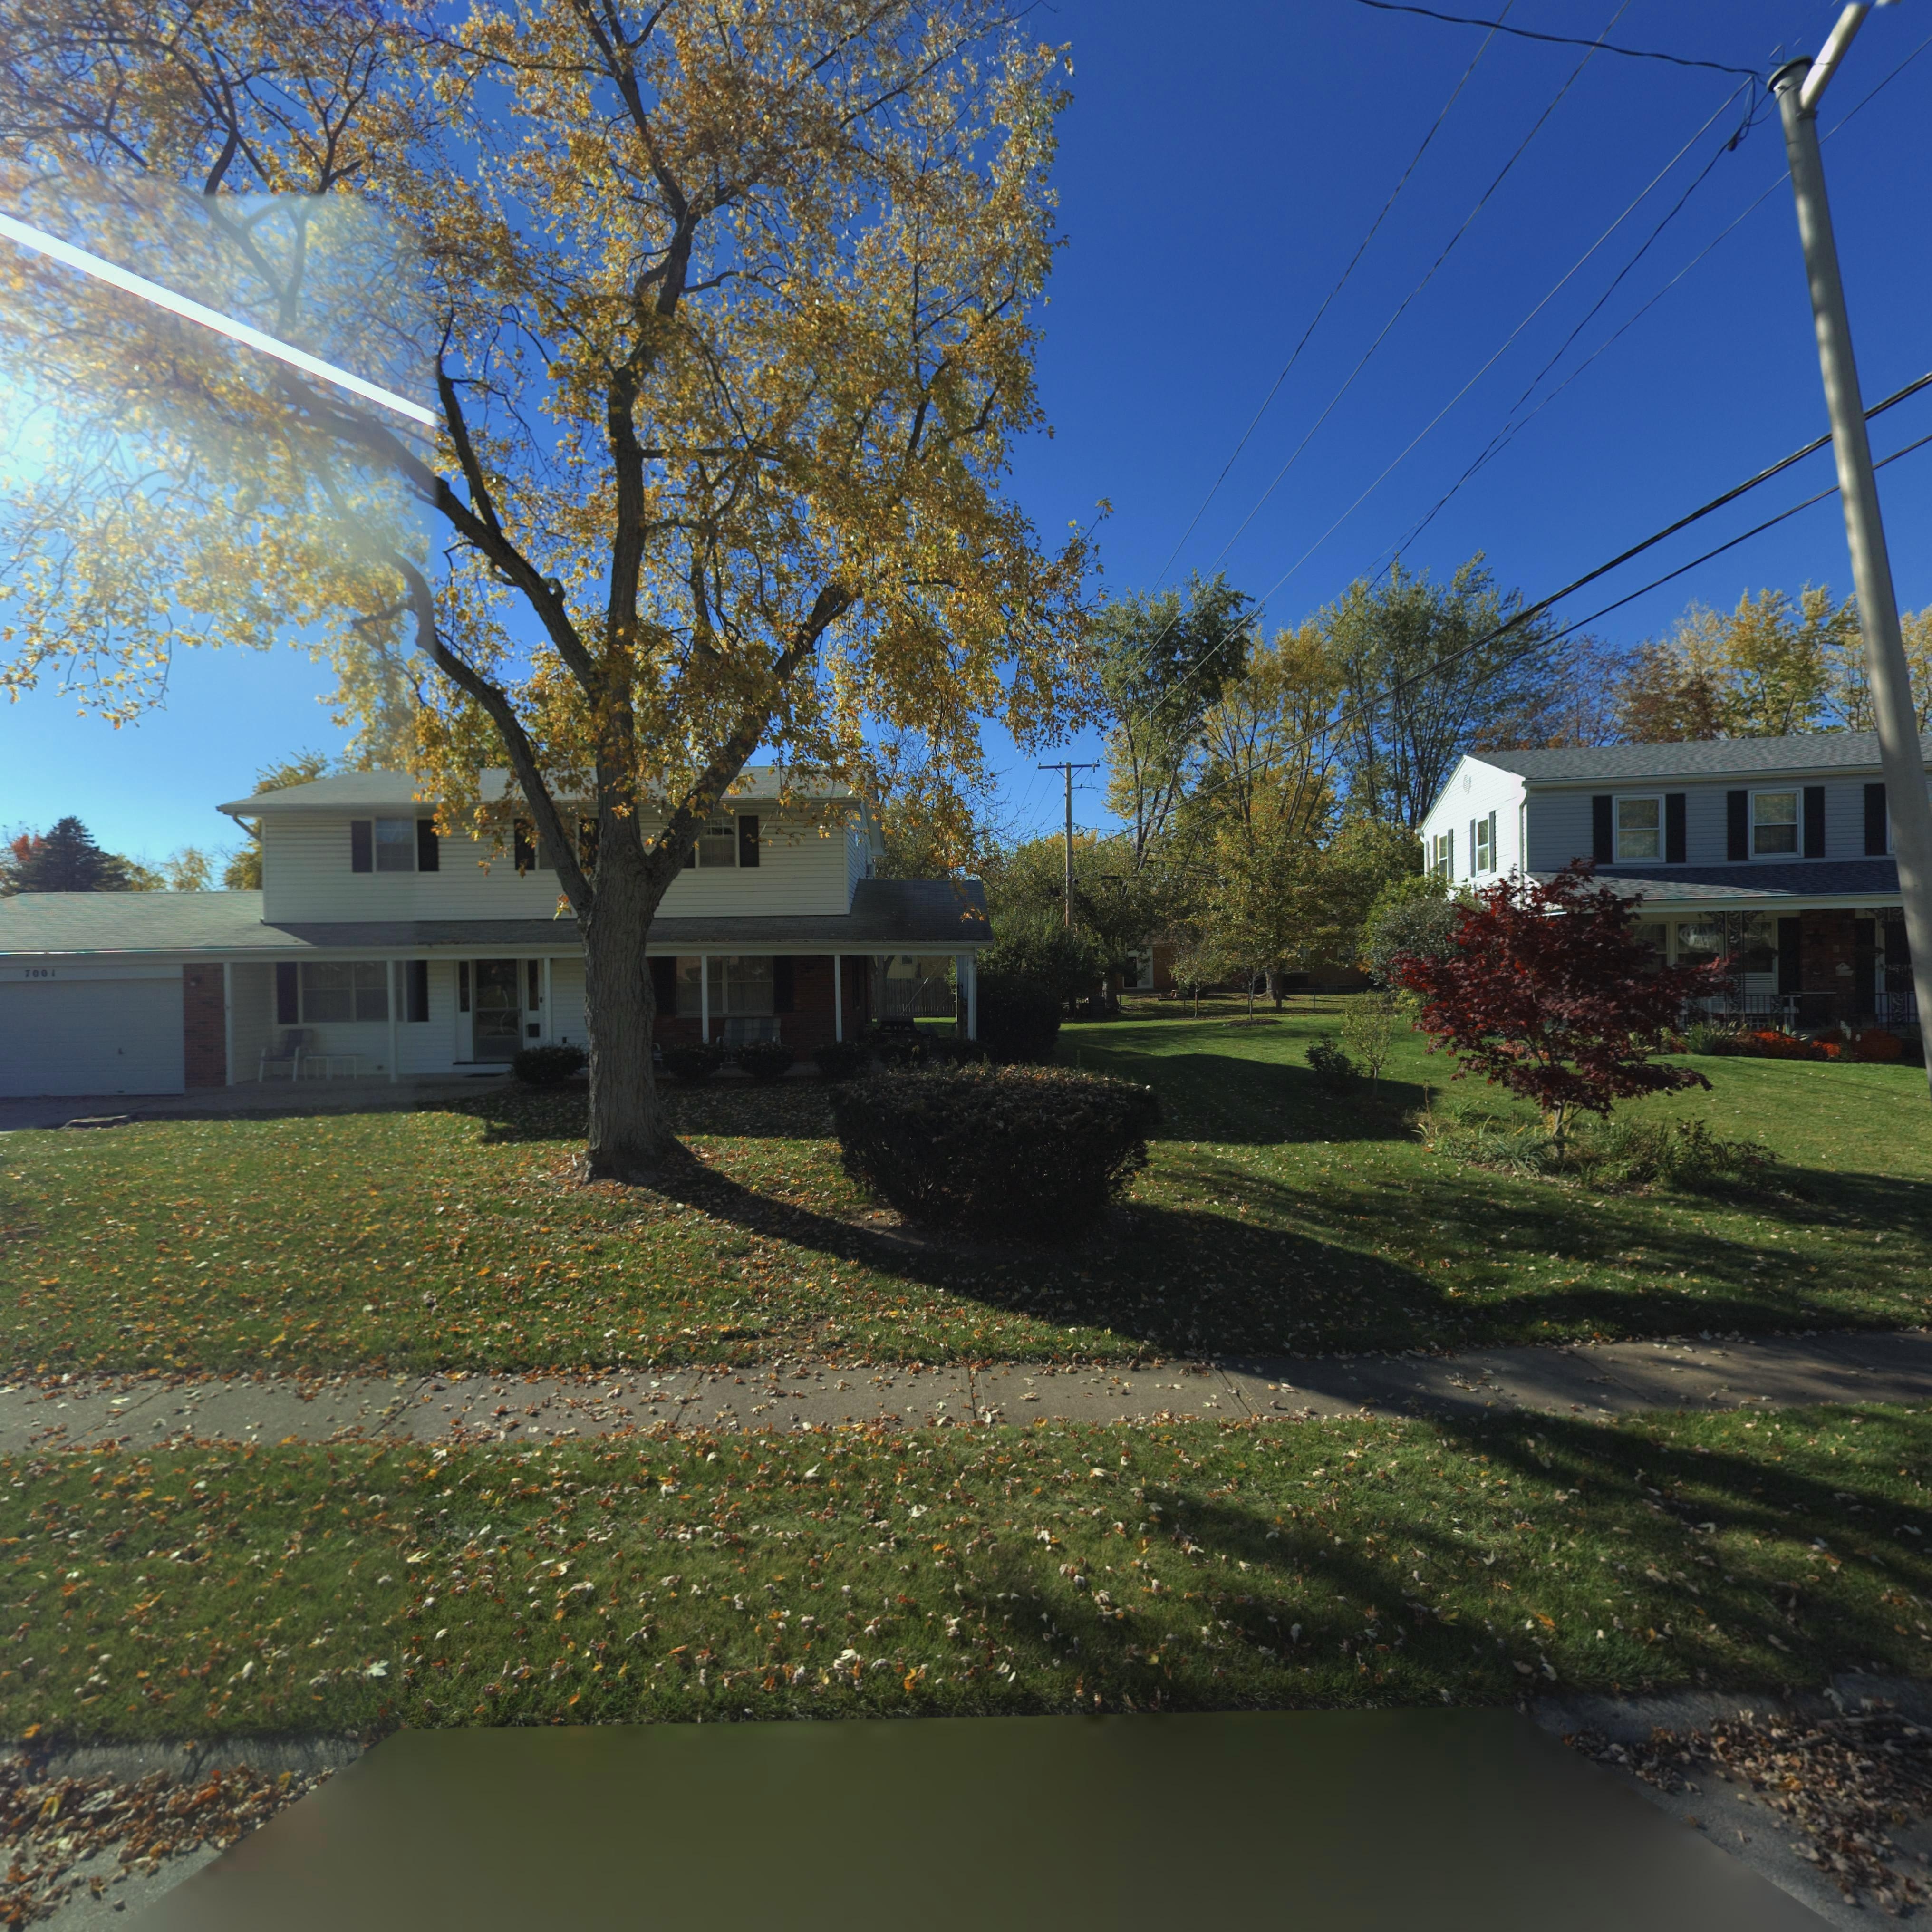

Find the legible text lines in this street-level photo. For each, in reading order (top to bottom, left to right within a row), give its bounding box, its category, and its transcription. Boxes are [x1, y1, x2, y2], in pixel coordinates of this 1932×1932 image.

[24, 968, 58, 979] StreetNumber: 7001